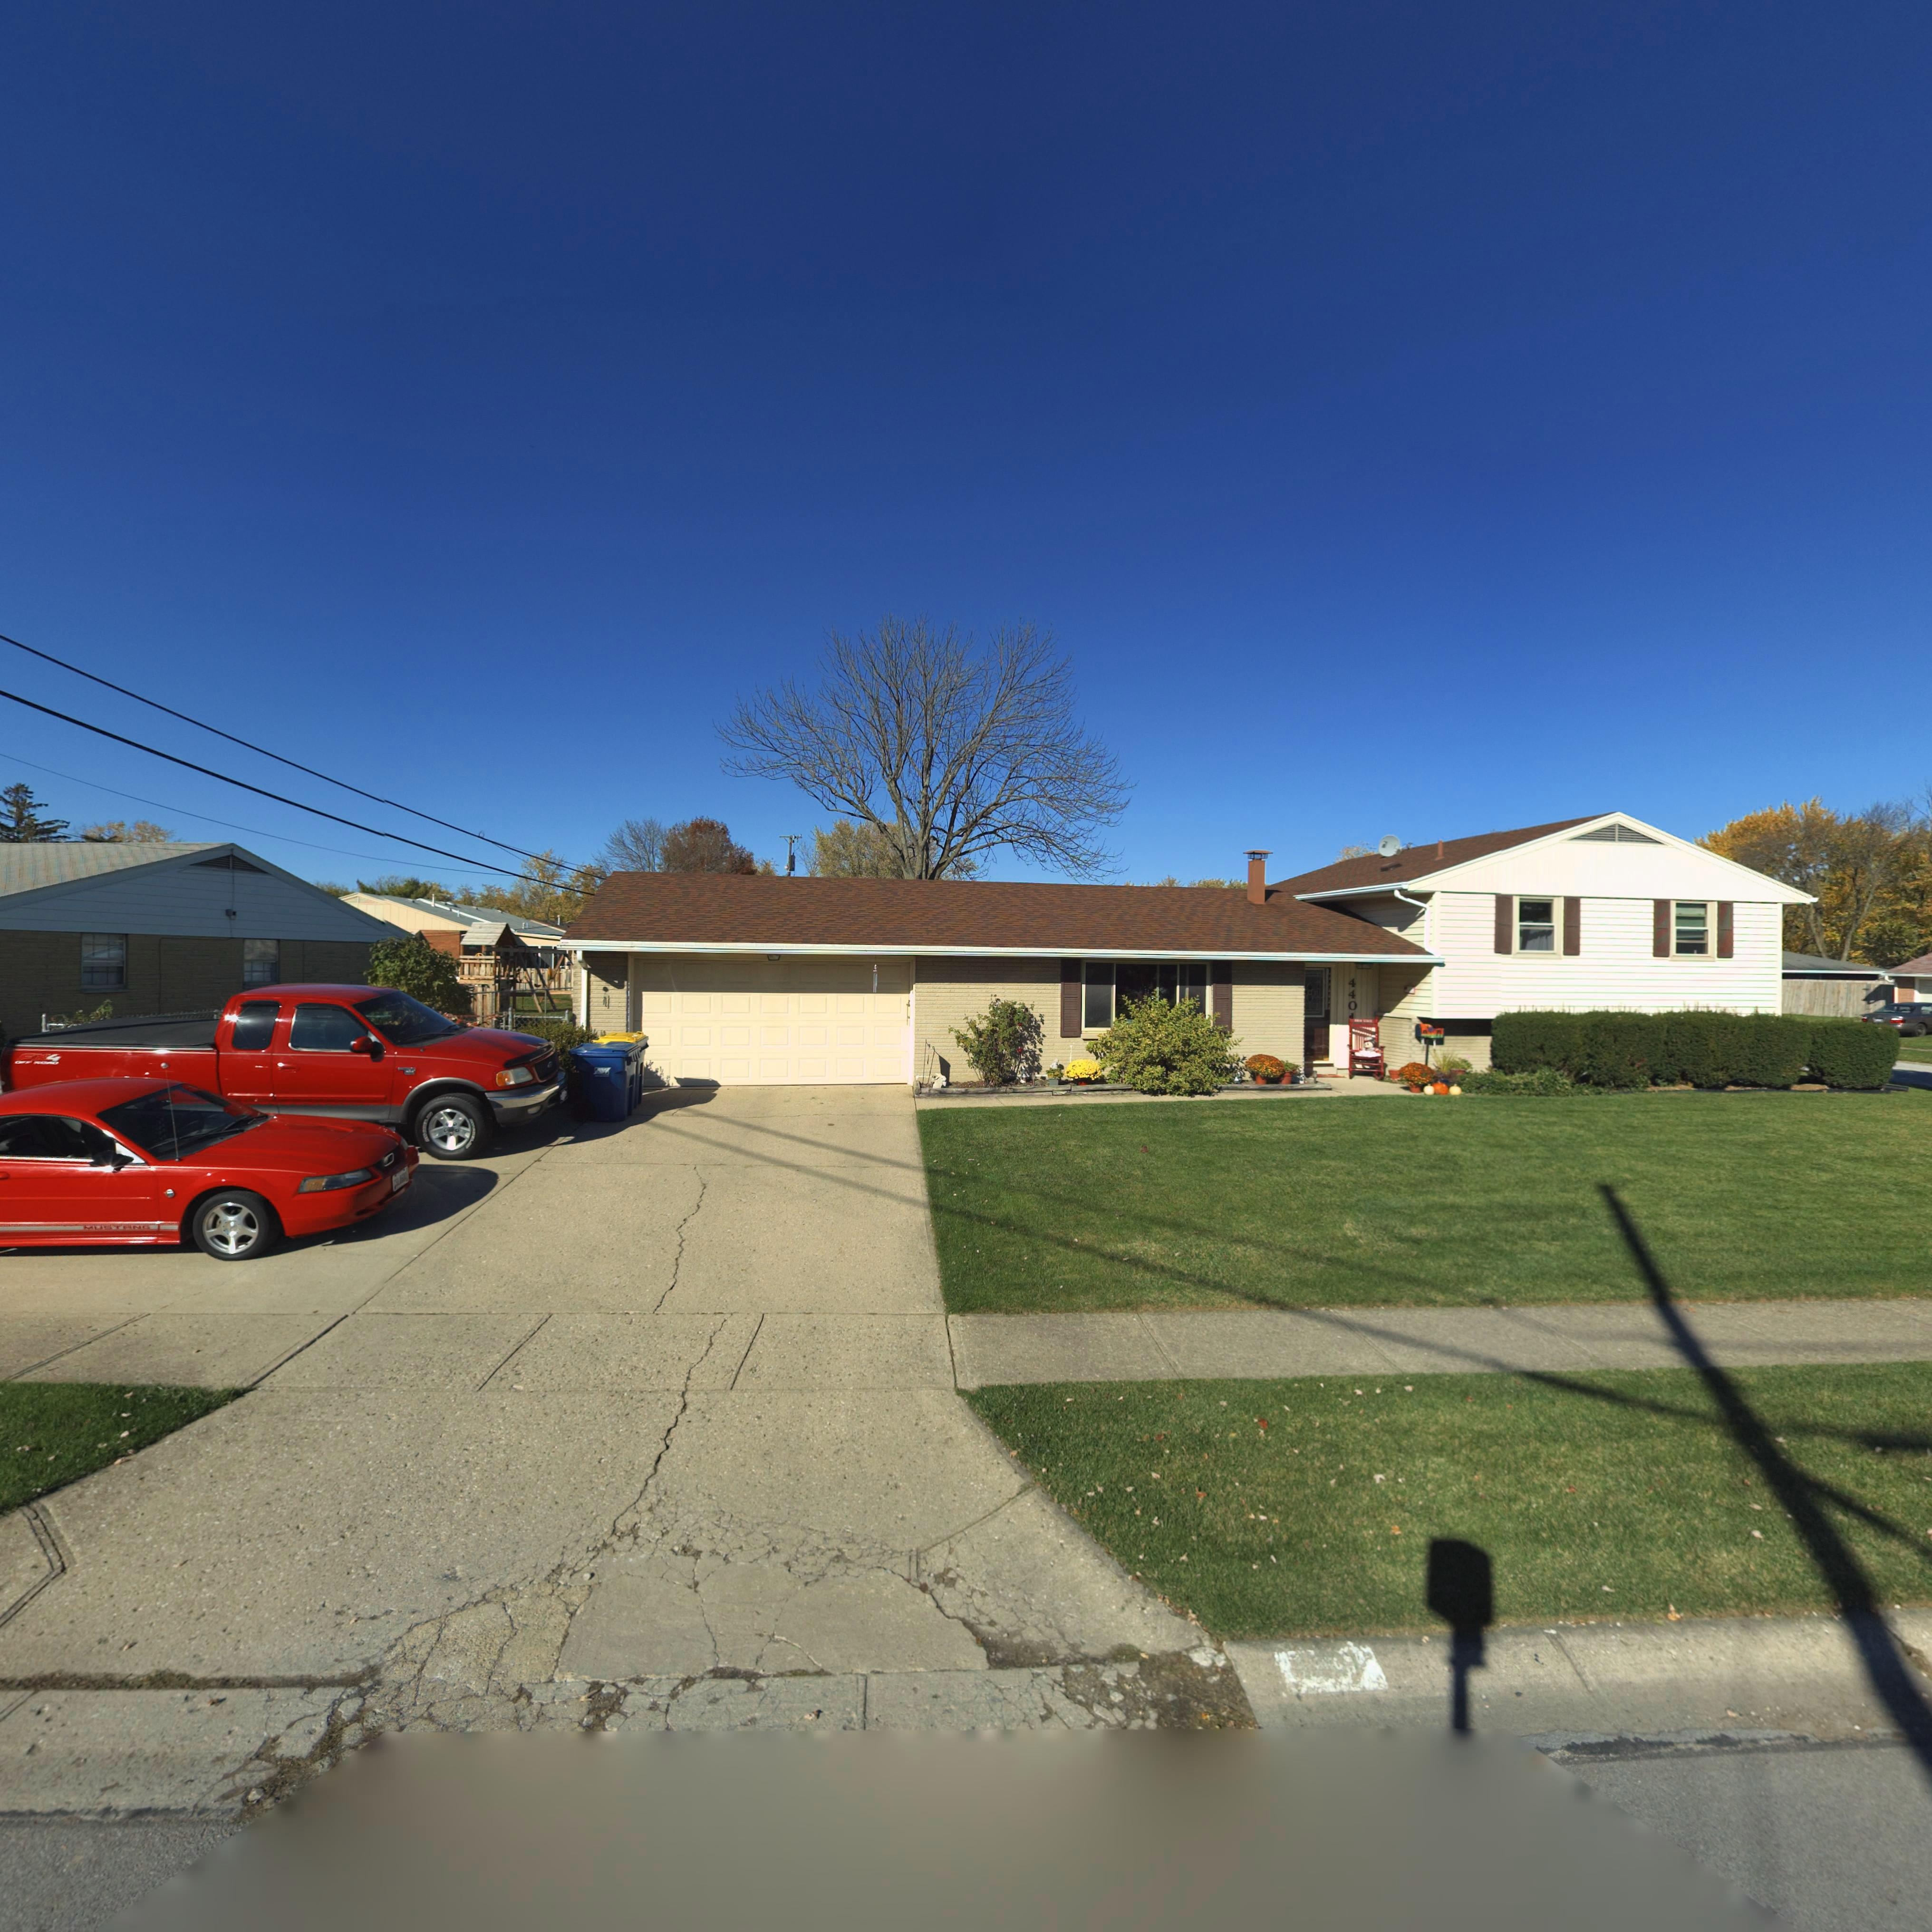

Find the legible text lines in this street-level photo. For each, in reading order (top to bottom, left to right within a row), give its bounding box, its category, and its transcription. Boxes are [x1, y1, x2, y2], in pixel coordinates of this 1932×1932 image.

[1348, 978, 1357, 1019] StreetNumber: 440*